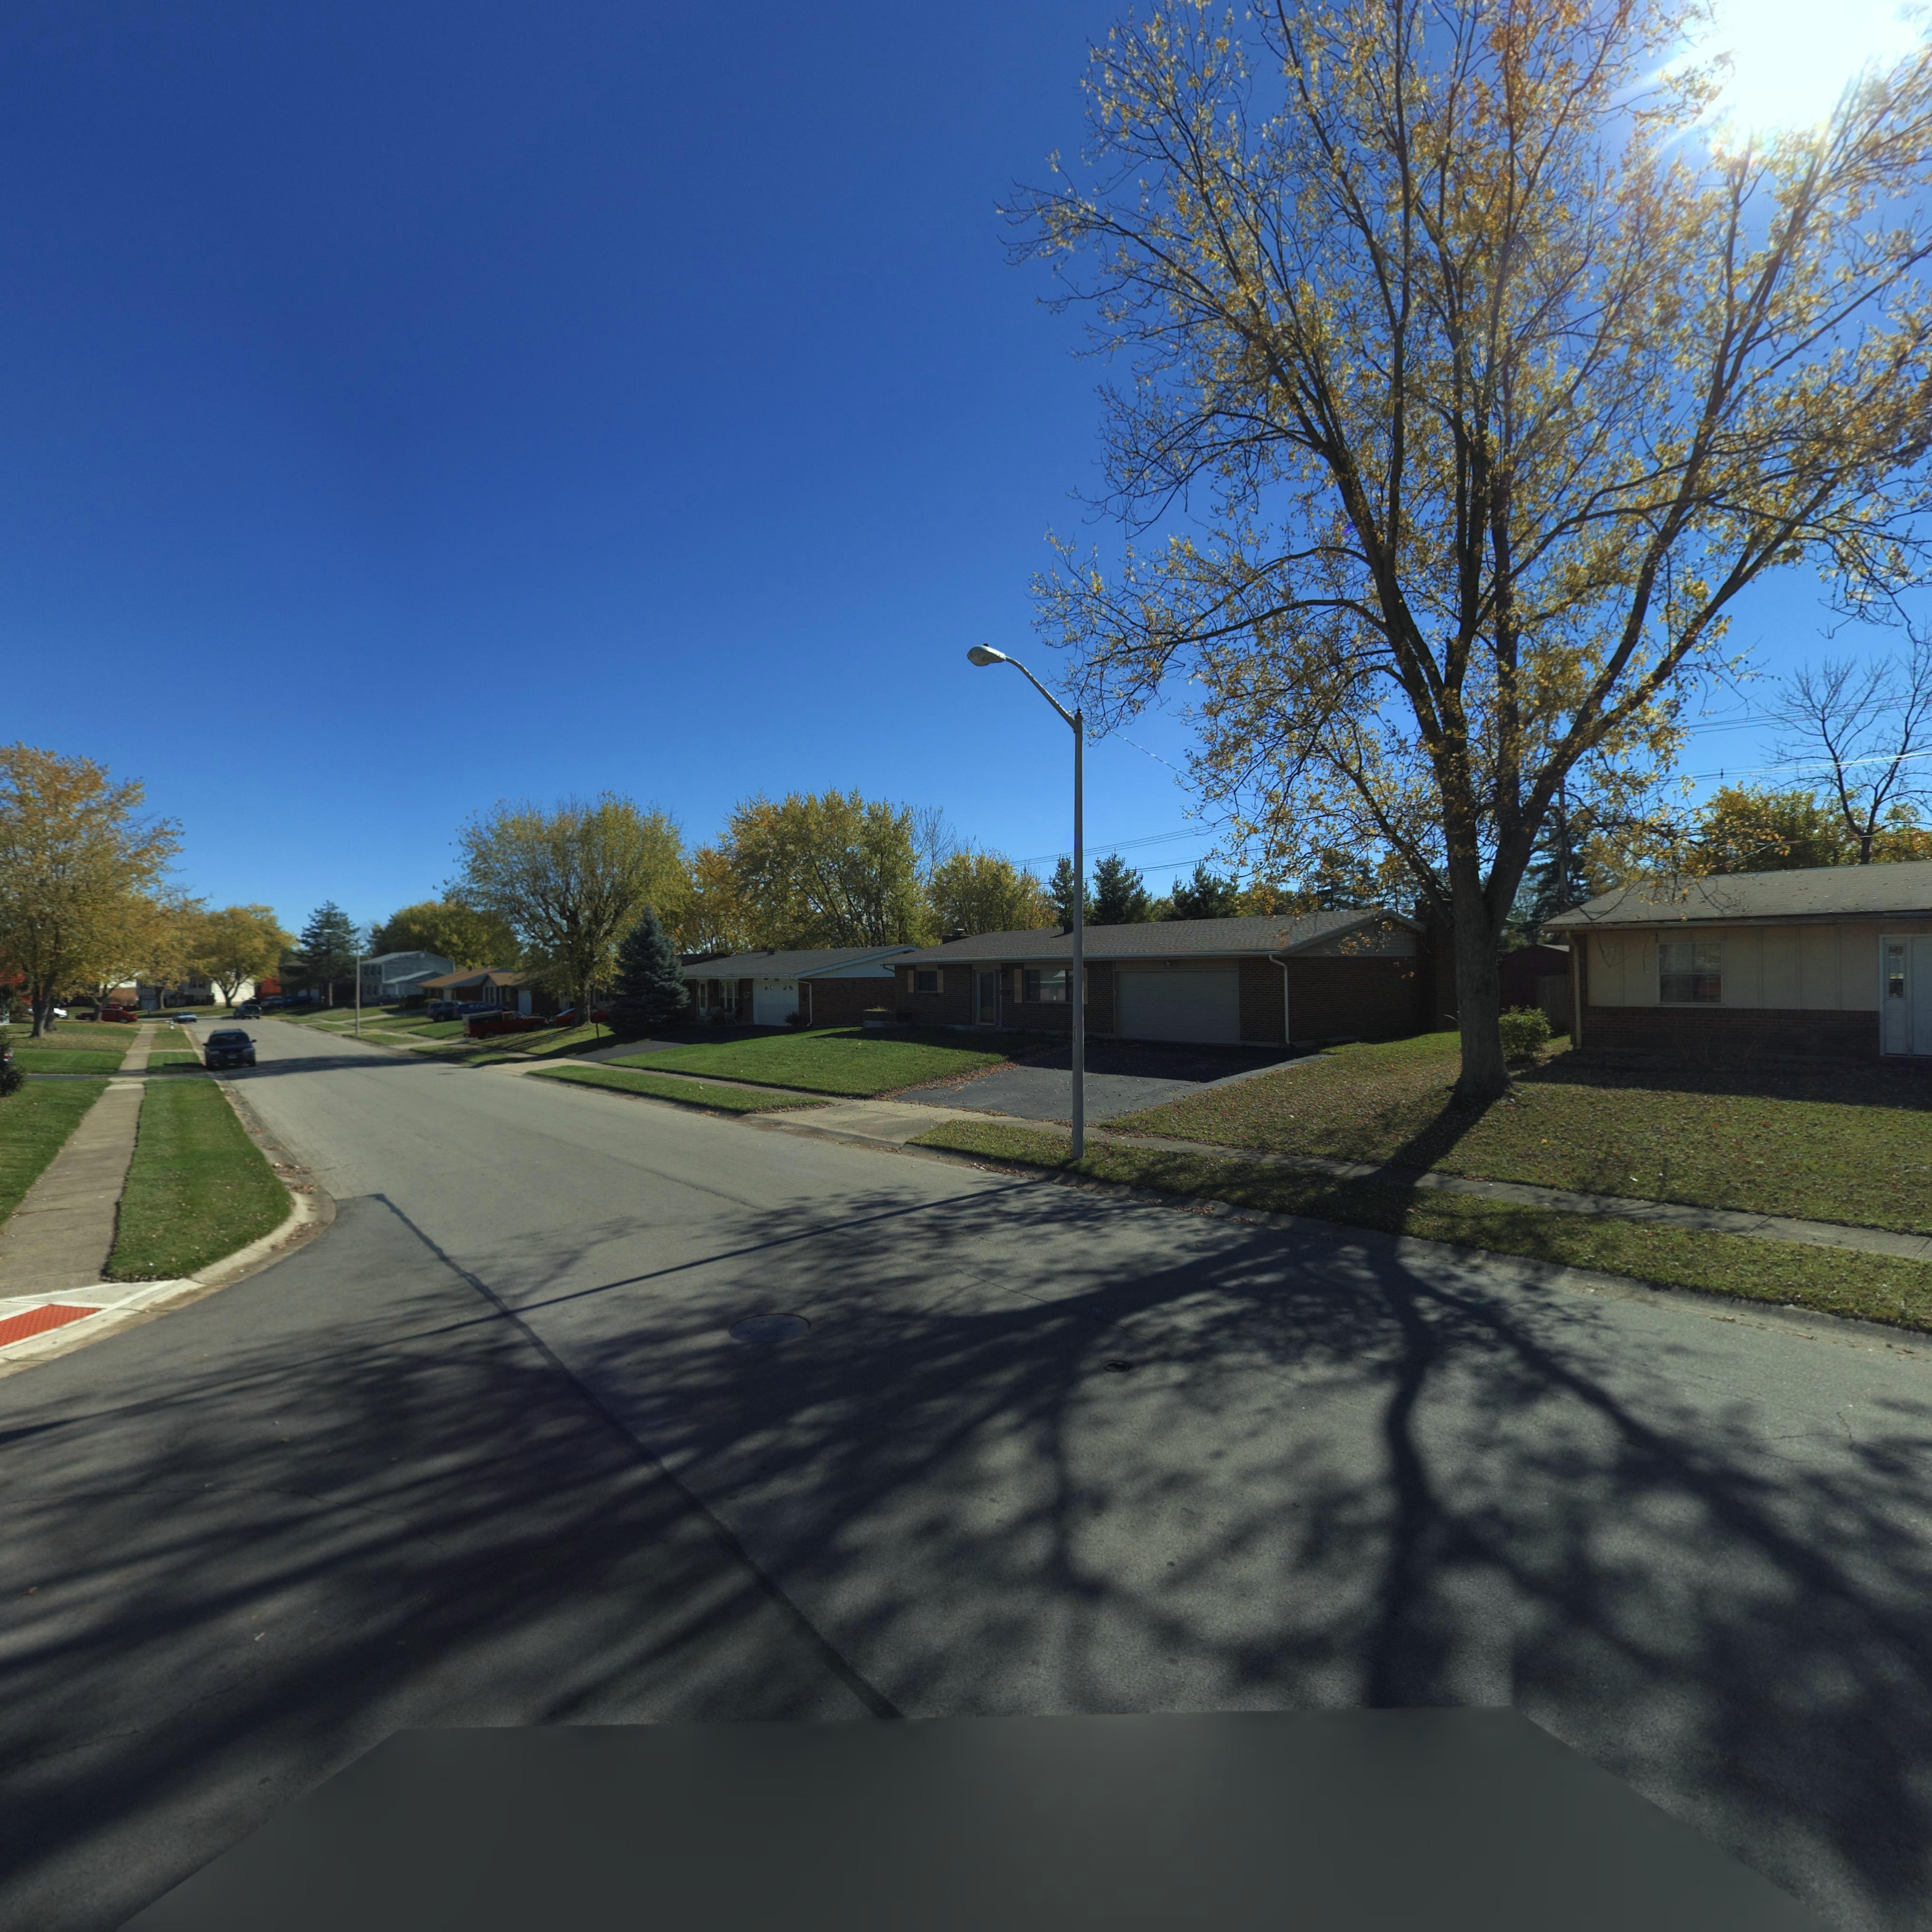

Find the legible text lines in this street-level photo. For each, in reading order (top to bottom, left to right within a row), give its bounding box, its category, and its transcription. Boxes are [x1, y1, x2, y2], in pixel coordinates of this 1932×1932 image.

[773, 978, 780, 982] StreetNumber: 2**